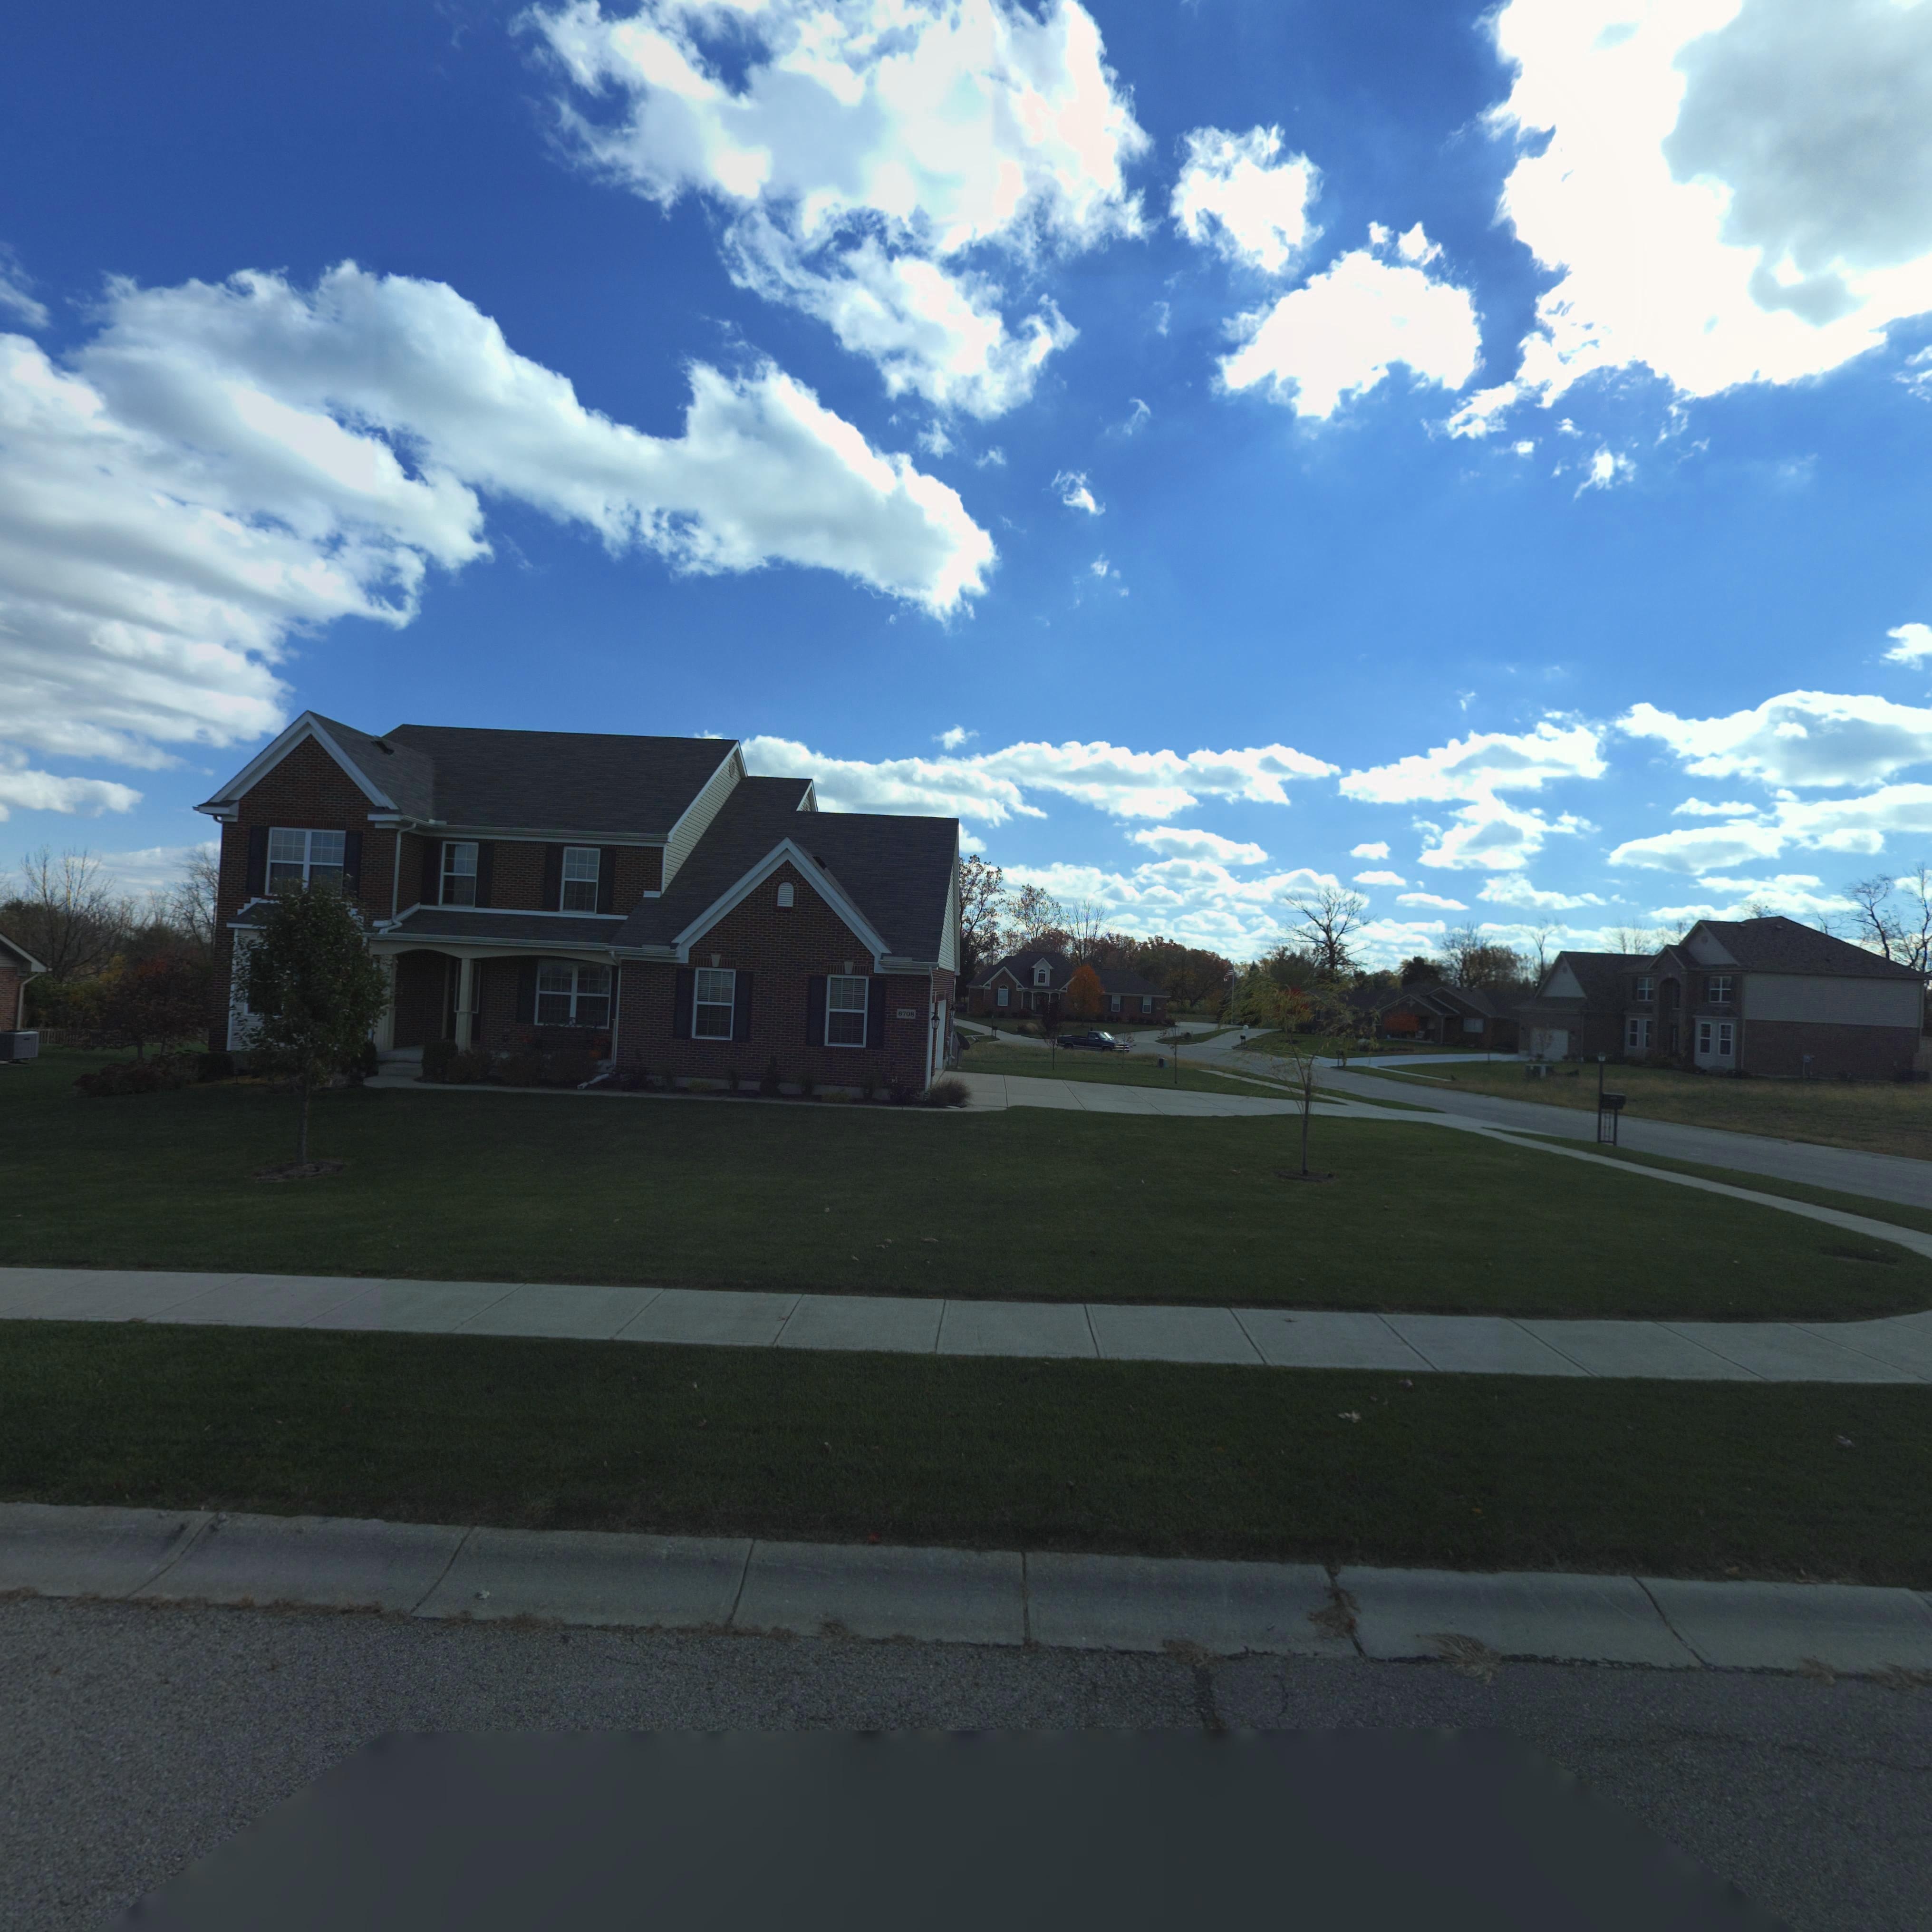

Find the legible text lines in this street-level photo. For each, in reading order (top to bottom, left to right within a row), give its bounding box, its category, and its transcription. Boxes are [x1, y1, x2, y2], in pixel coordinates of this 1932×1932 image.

[898, 1010, 915, 1017] StreetNumber: 6708